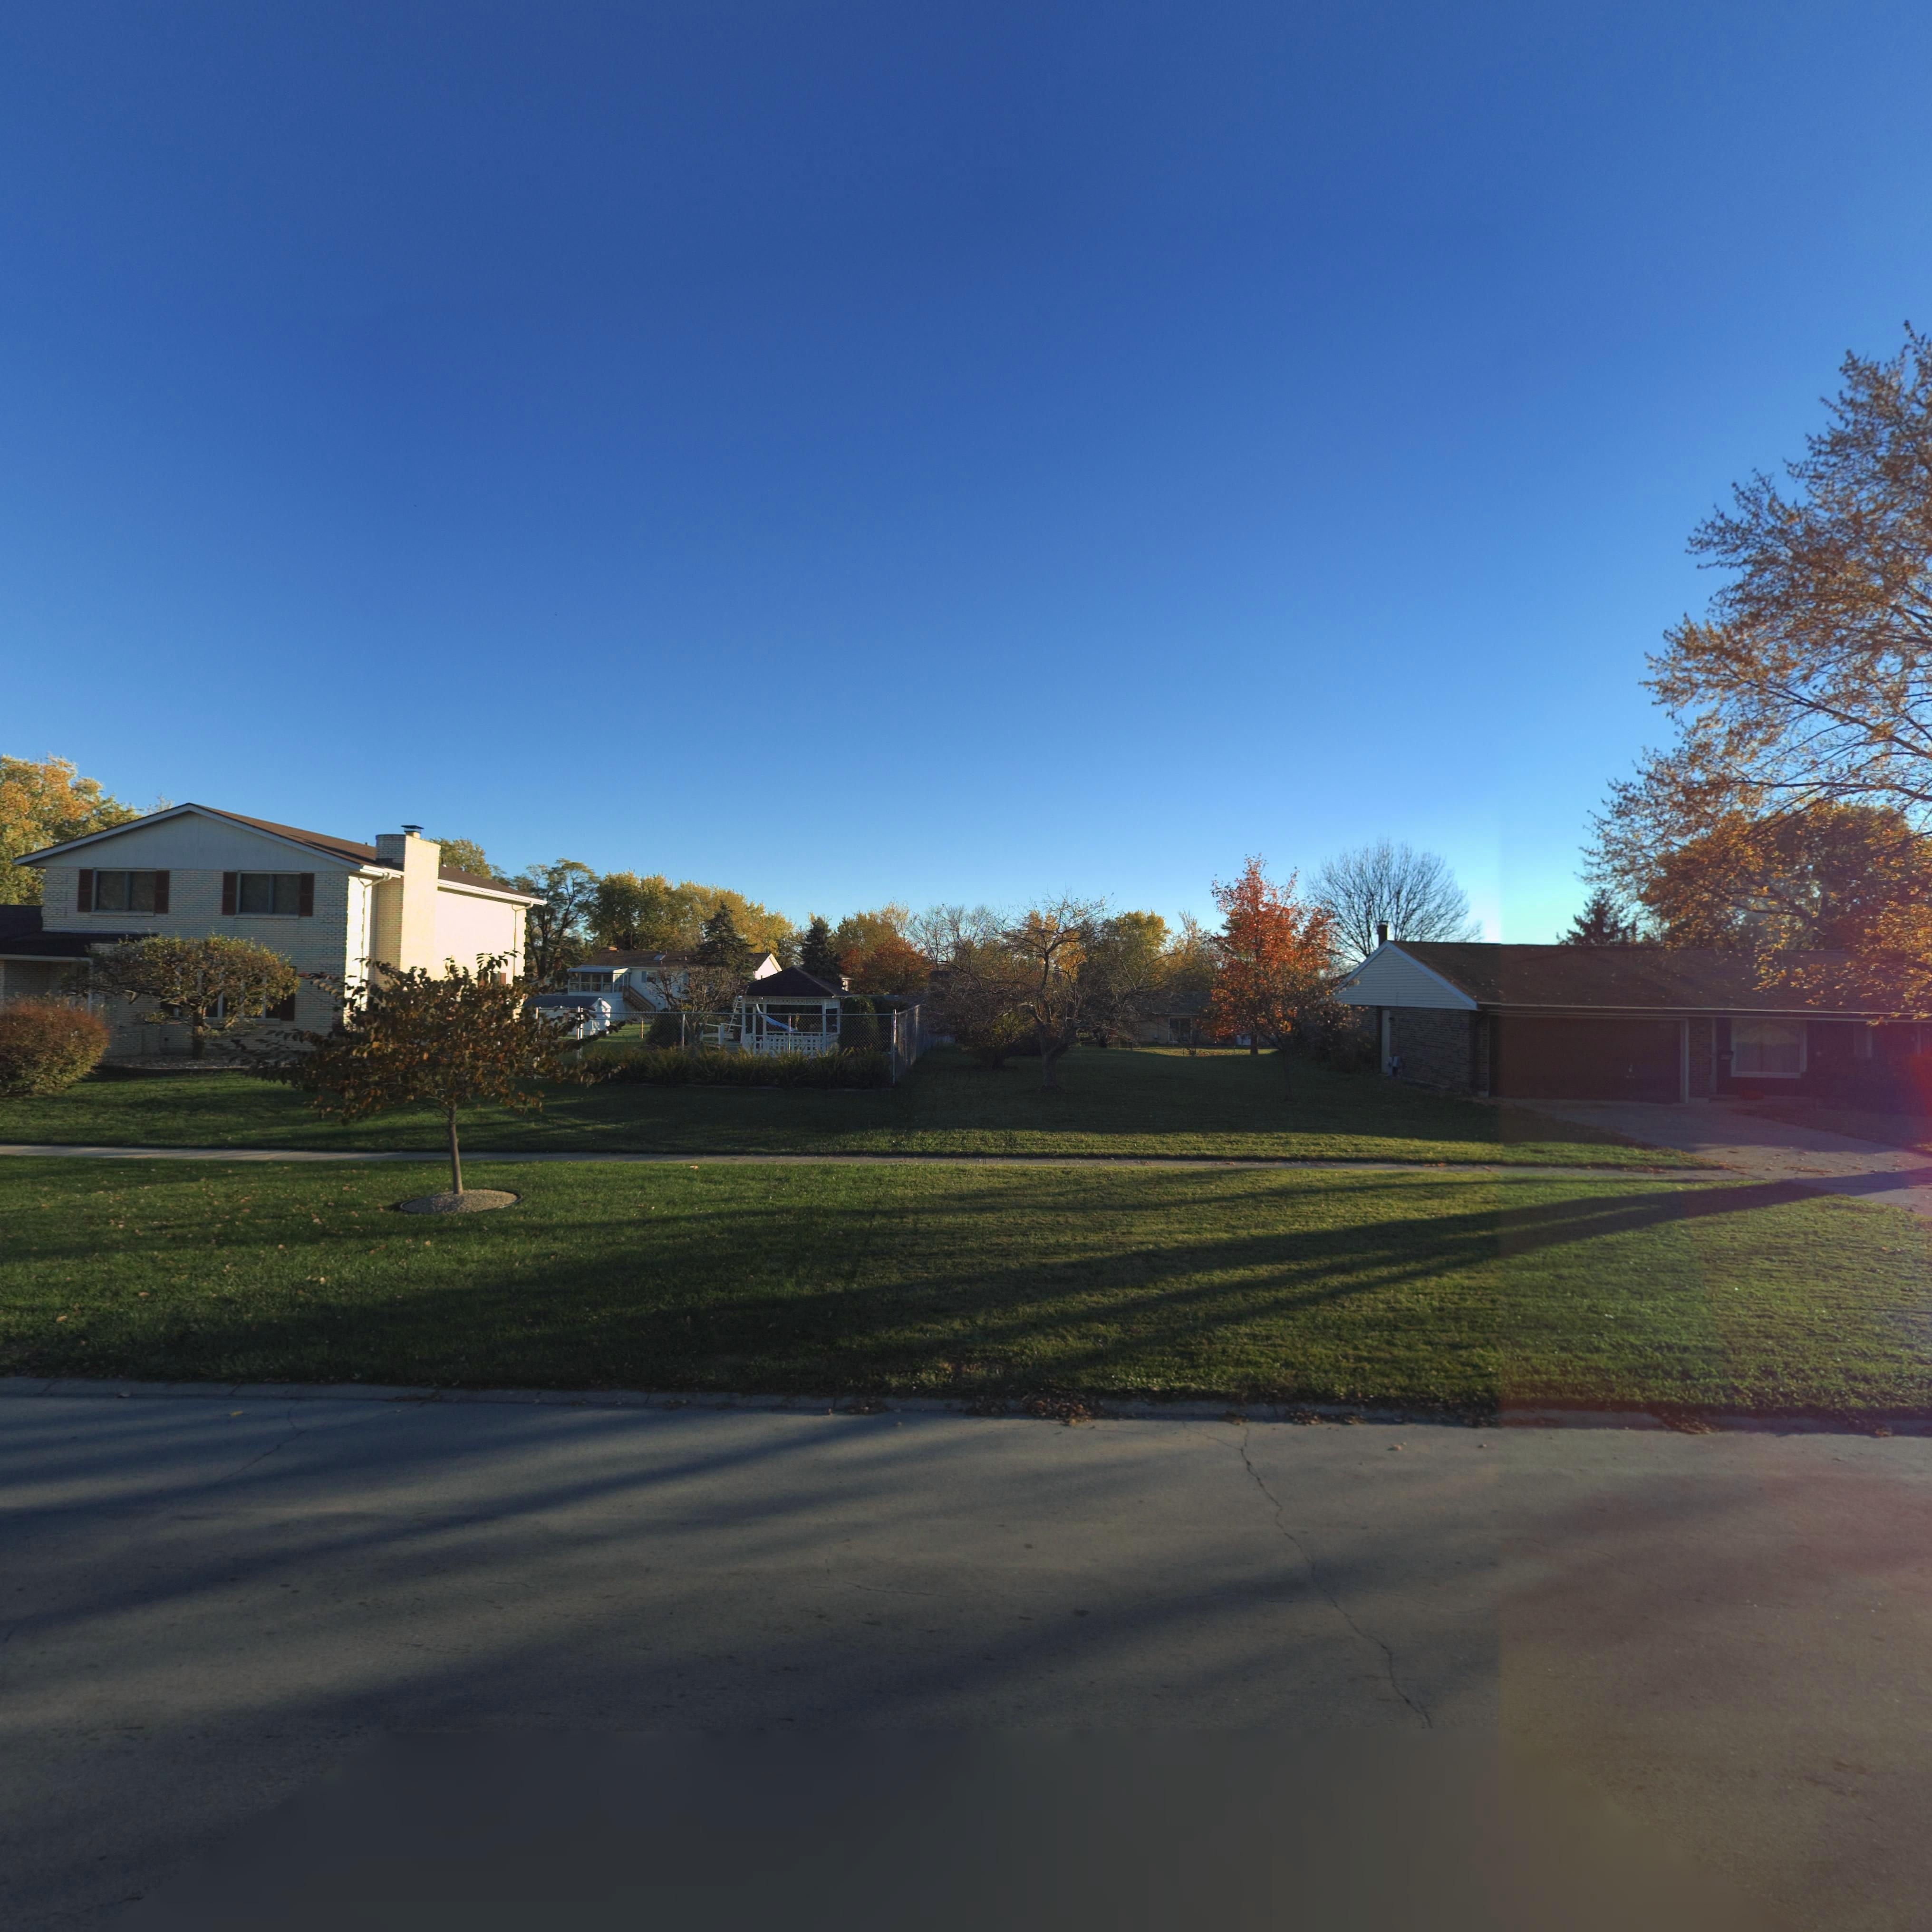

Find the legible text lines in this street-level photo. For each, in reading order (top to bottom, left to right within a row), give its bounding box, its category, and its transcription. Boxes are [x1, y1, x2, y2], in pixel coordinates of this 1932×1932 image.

[1657, 1023, 1675, 1030] StreetNumber: 4***